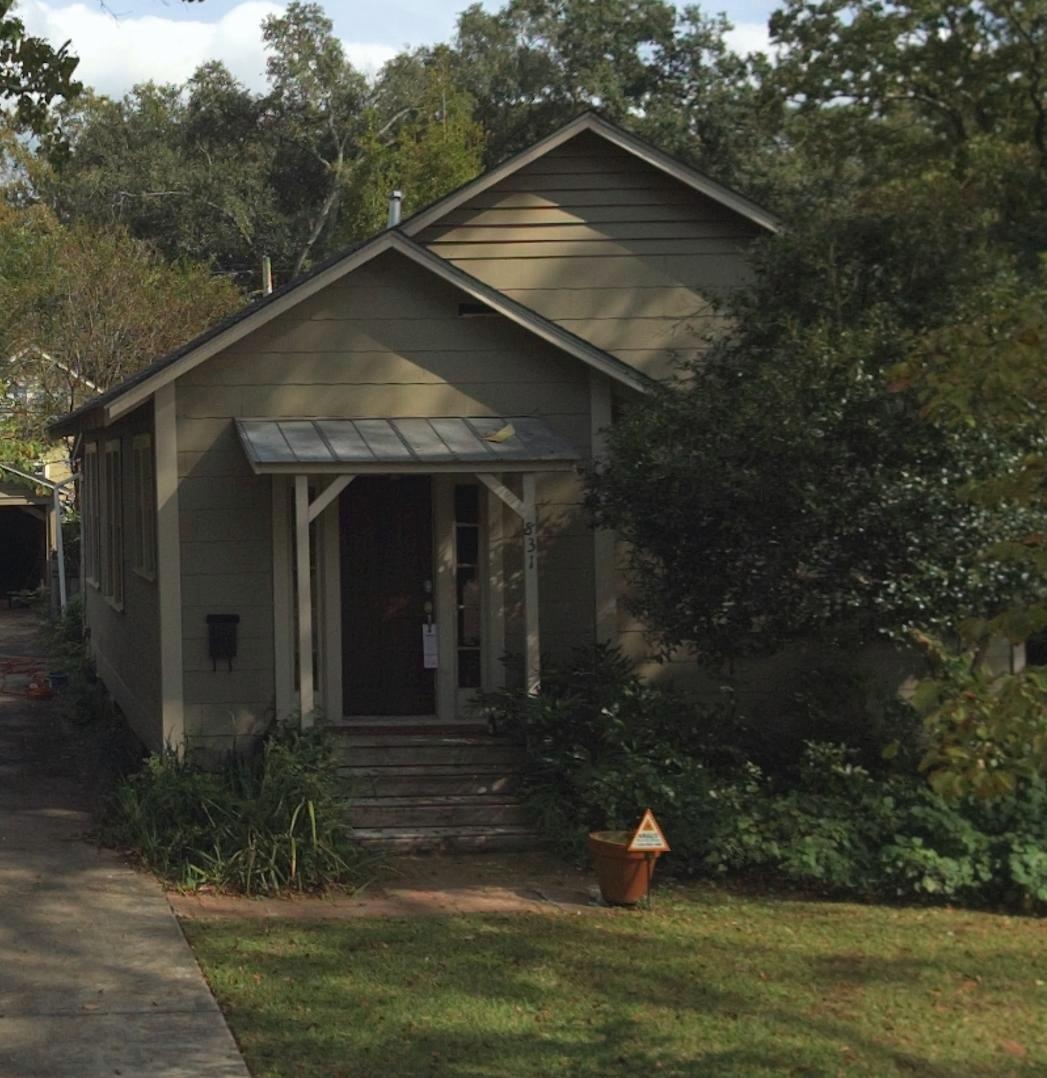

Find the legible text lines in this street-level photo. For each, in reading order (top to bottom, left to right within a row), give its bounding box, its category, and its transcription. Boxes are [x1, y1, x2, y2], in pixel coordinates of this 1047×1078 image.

[522, 520, 538, 571] StreetNumber: 831